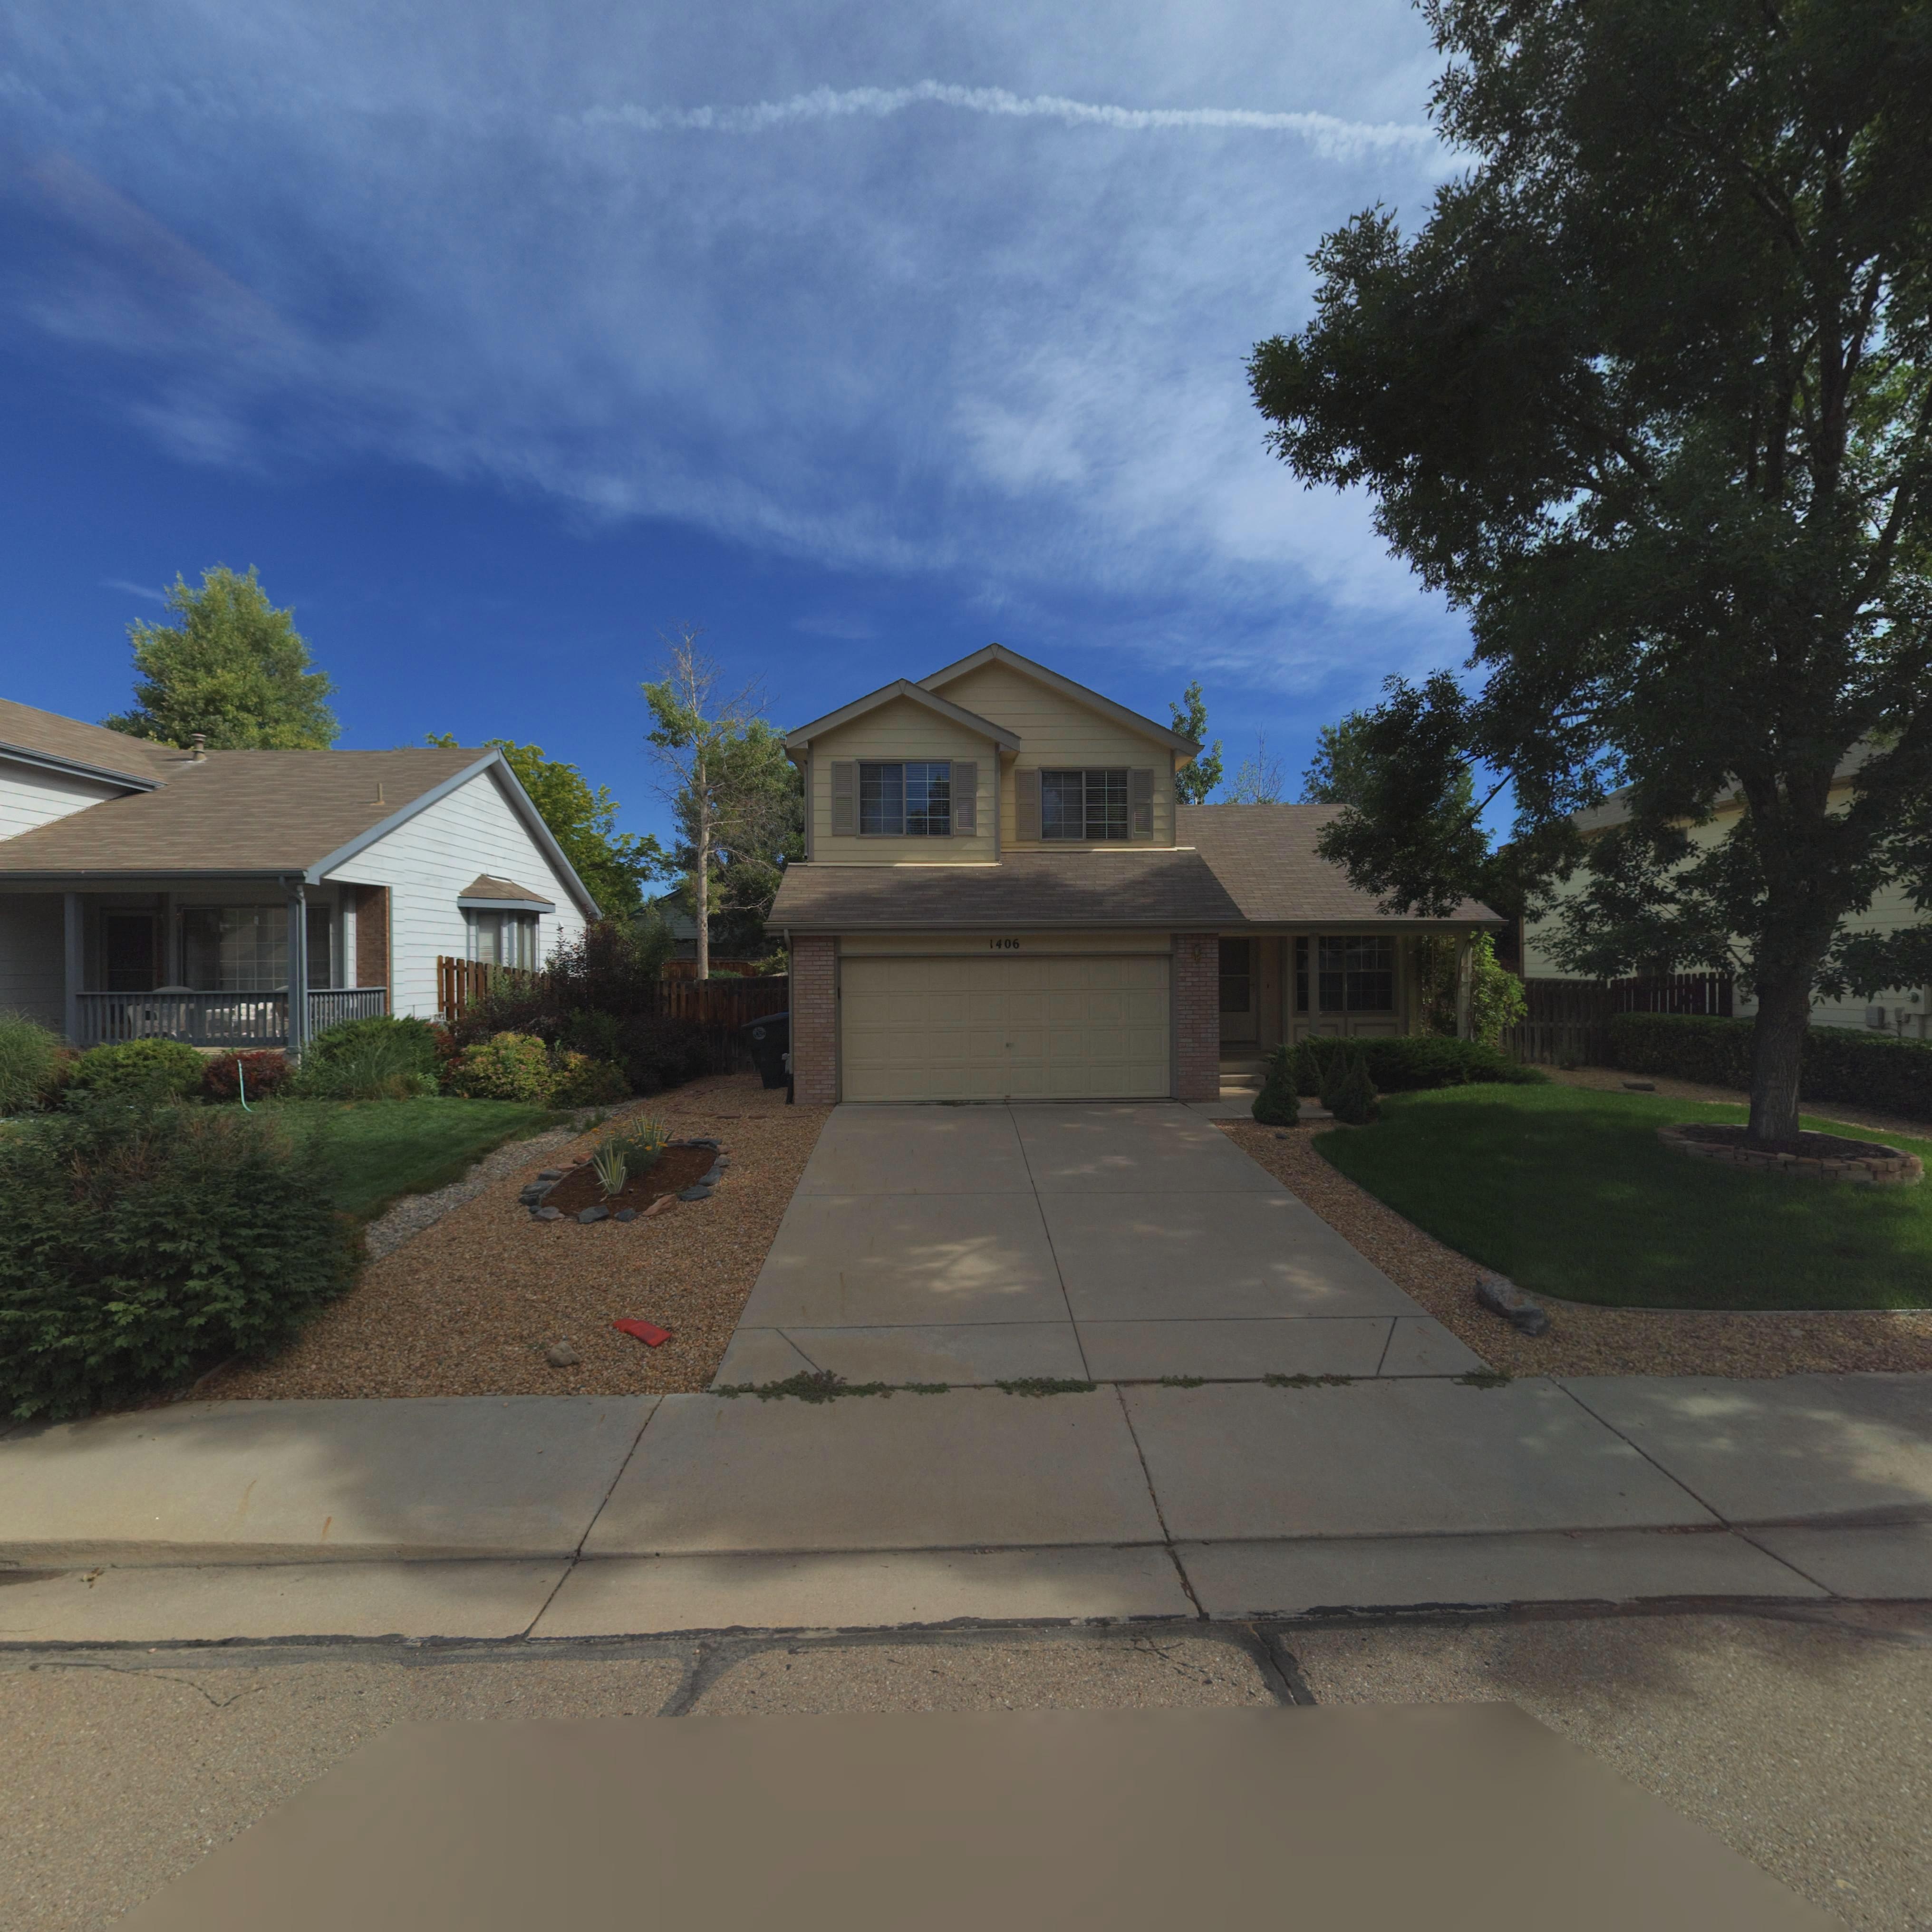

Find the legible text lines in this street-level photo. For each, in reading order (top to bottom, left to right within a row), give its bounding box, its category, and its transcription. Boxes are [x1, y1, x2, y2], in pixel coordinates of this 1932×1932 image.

[989, 938, 1019, 949] StreetNumber: 1406